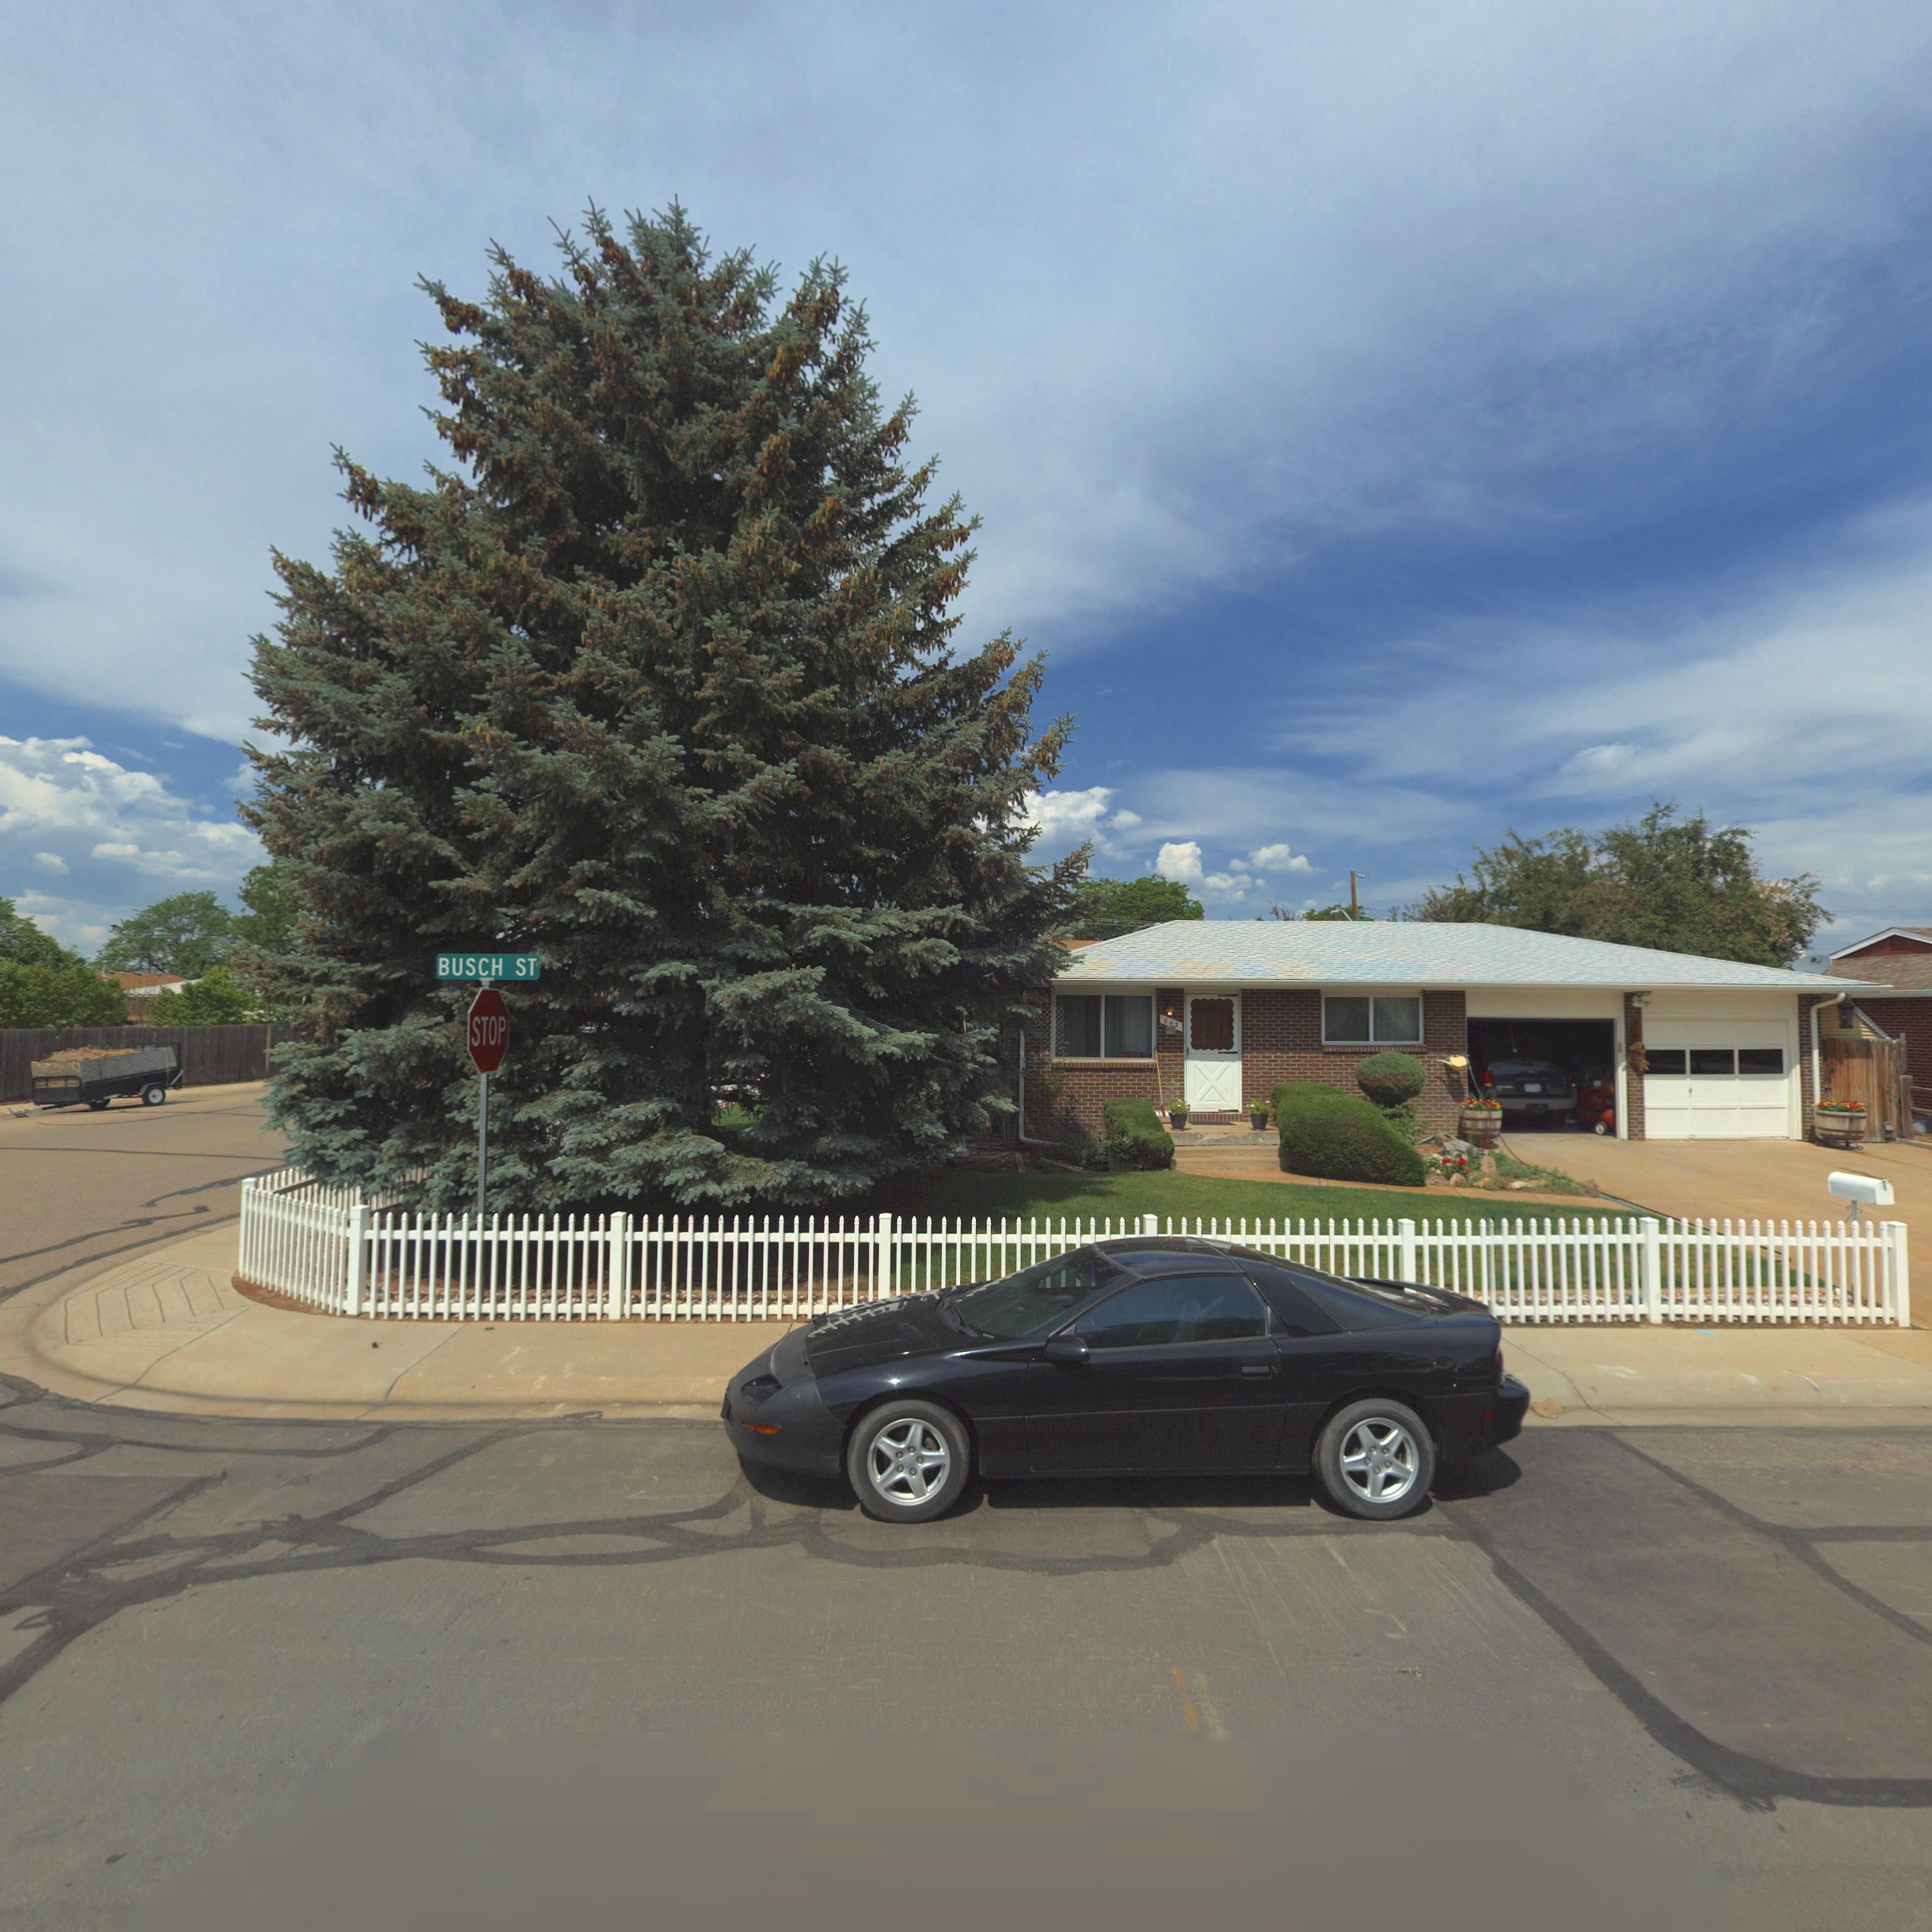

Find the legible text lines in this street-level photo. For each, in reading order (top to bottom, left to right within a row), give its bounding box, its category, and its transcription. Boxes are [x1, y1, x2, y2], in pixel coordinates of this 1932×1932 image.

[438, 956, 538, 976] StreetName: BUSCH ST
[1163, 1017, 1178, 1028] StreetNumber: 843